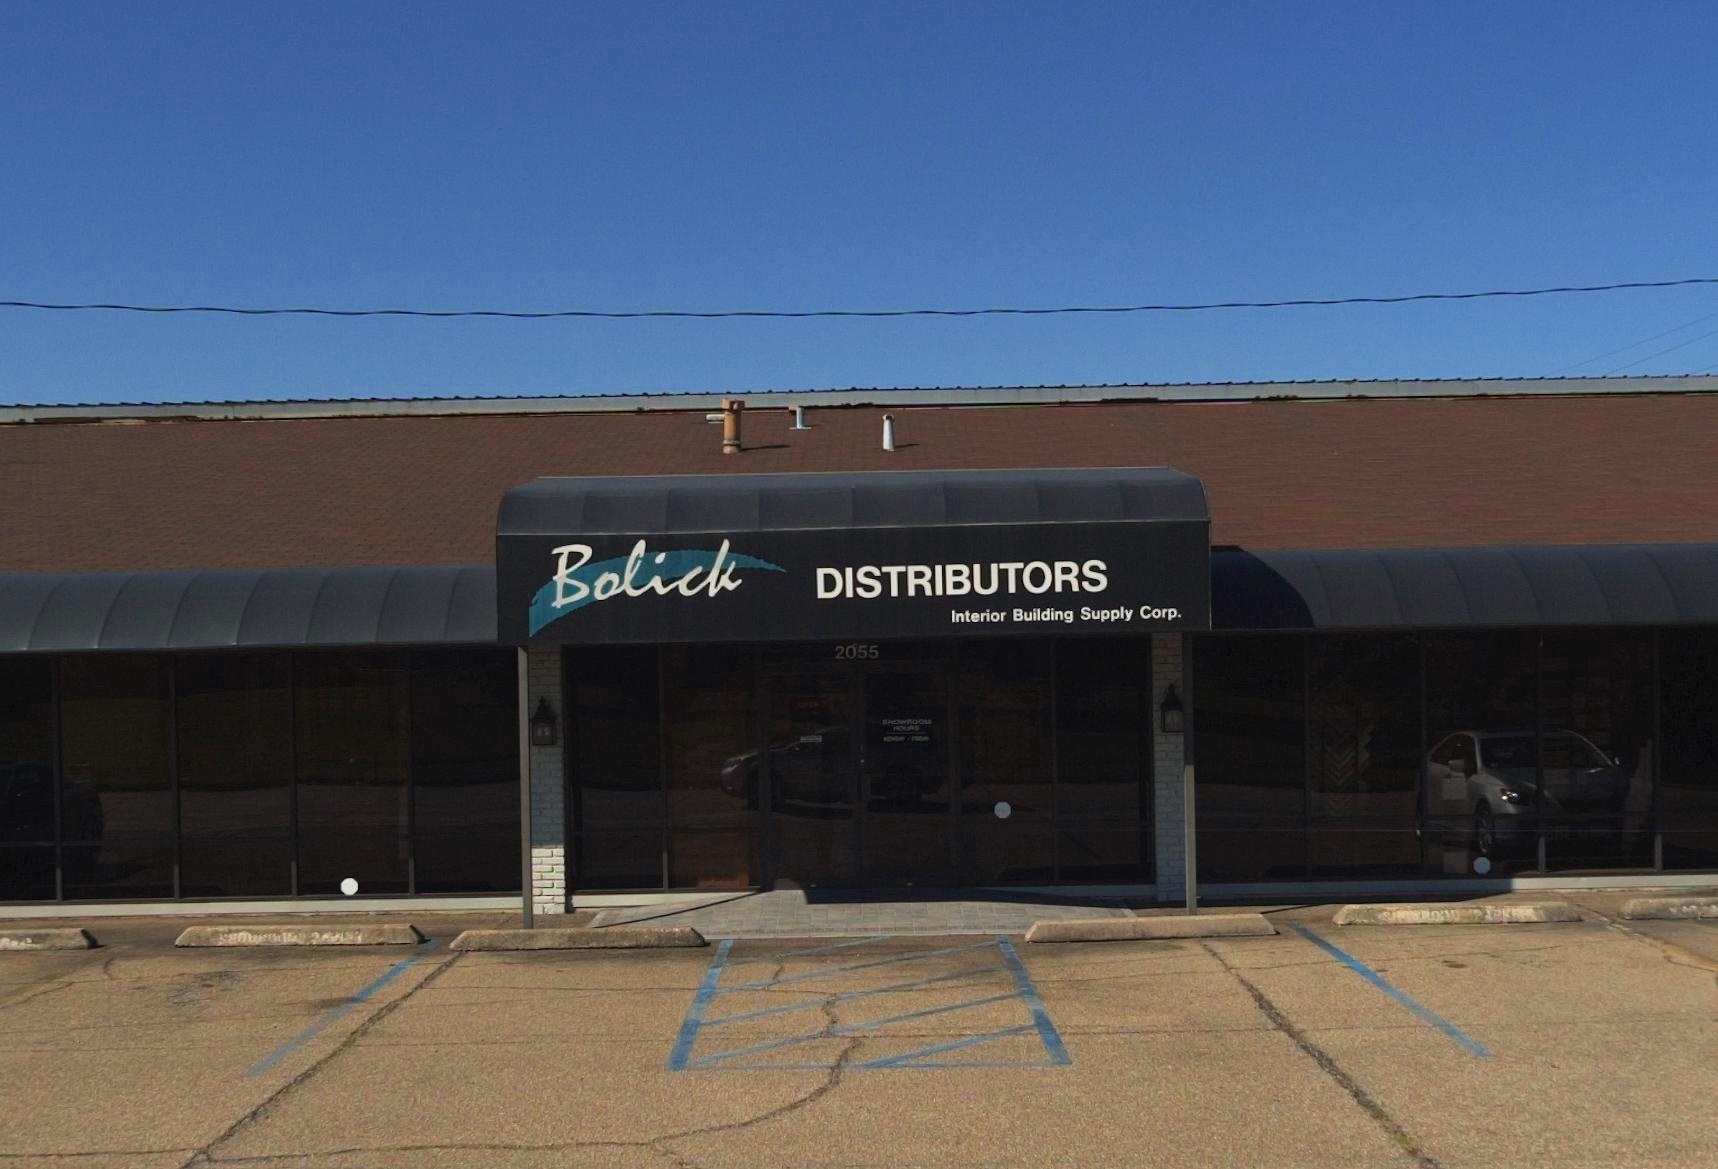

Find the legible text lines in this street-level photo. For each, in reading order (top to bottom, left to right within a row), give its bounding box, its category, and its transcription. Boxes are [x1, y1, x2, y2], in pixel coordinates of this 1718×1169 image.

[544, 529, 751, 618] BusinessName: Bolick
[811, 555, 1112, 604] BusinessName: DISTRIBUTORS
[948, 602, 1186, 627] BusinessName: Interior Building Supply Corp.
[832, 642, 882, 661] StreetNumber: 2055